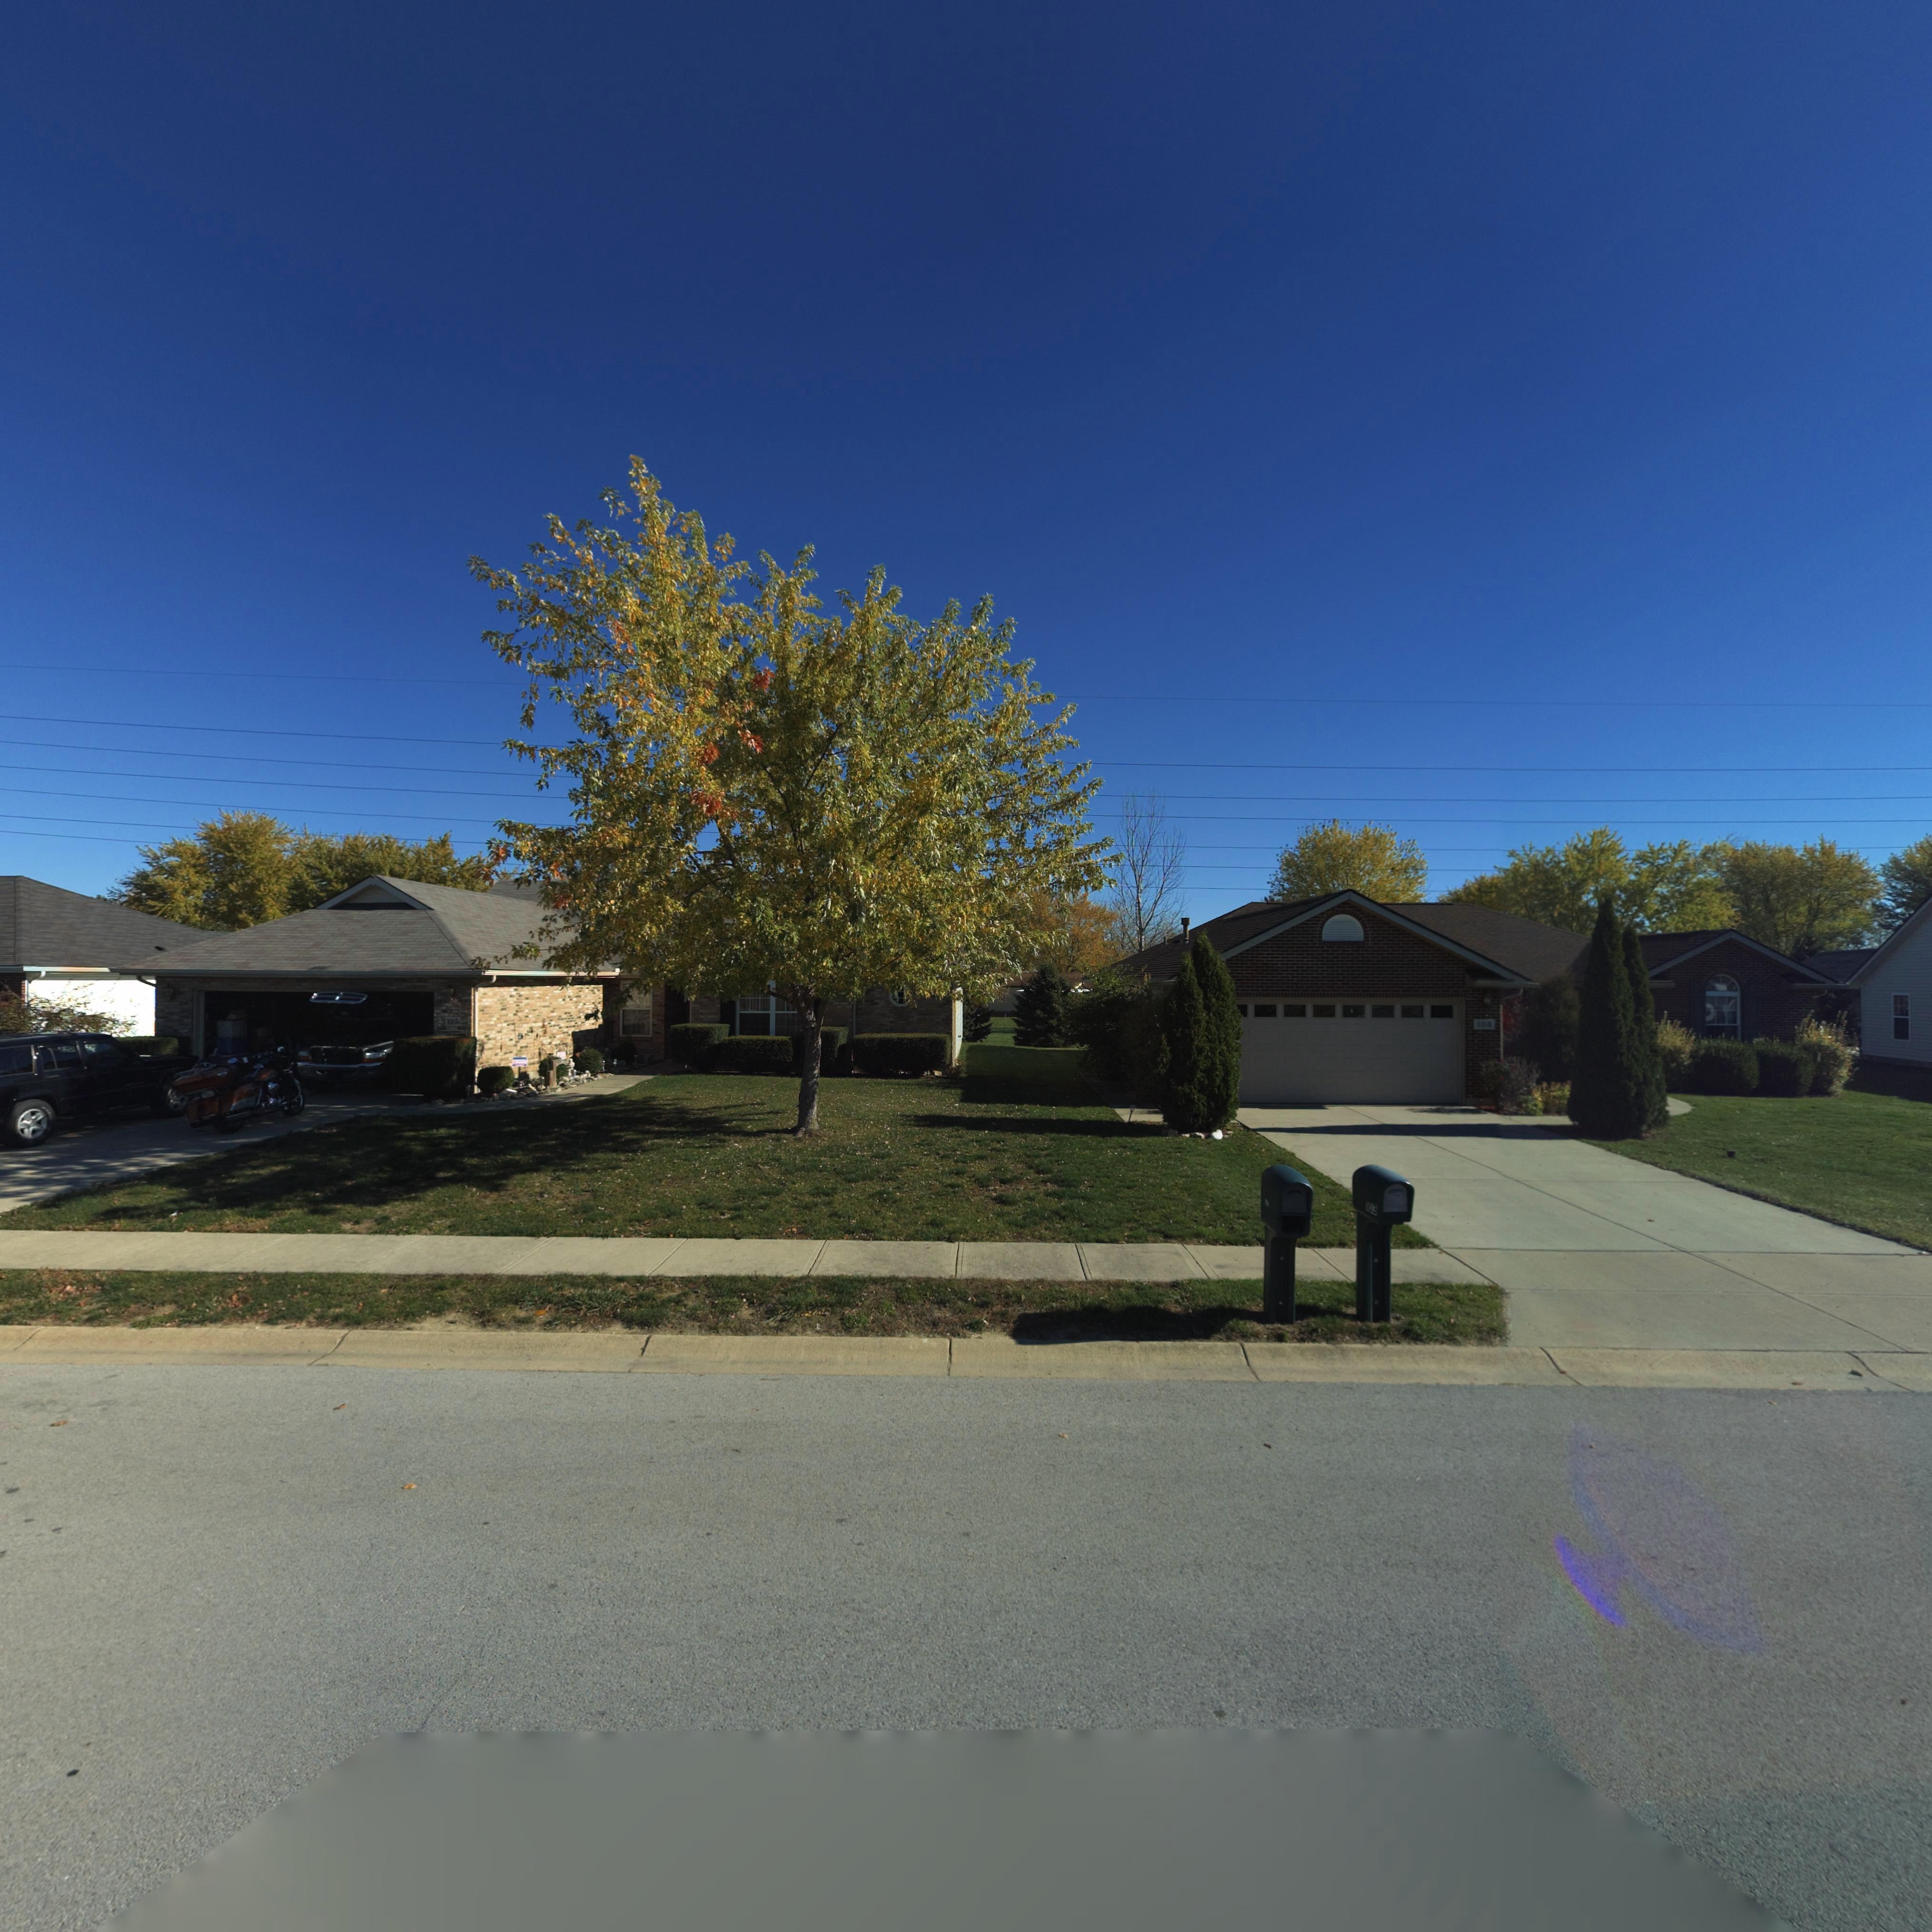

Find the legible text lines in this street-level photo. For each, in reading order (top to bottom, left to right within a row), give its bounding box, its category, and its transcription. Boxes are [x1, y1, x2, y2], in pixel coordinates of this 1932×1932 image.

[446, 1018, 460, 1025] StreetNumber: 105
[1477, 1021, 1492, 1028] StreetNumber: 103
[1365, 1200, 1378, 1215] StreetNumber: 103